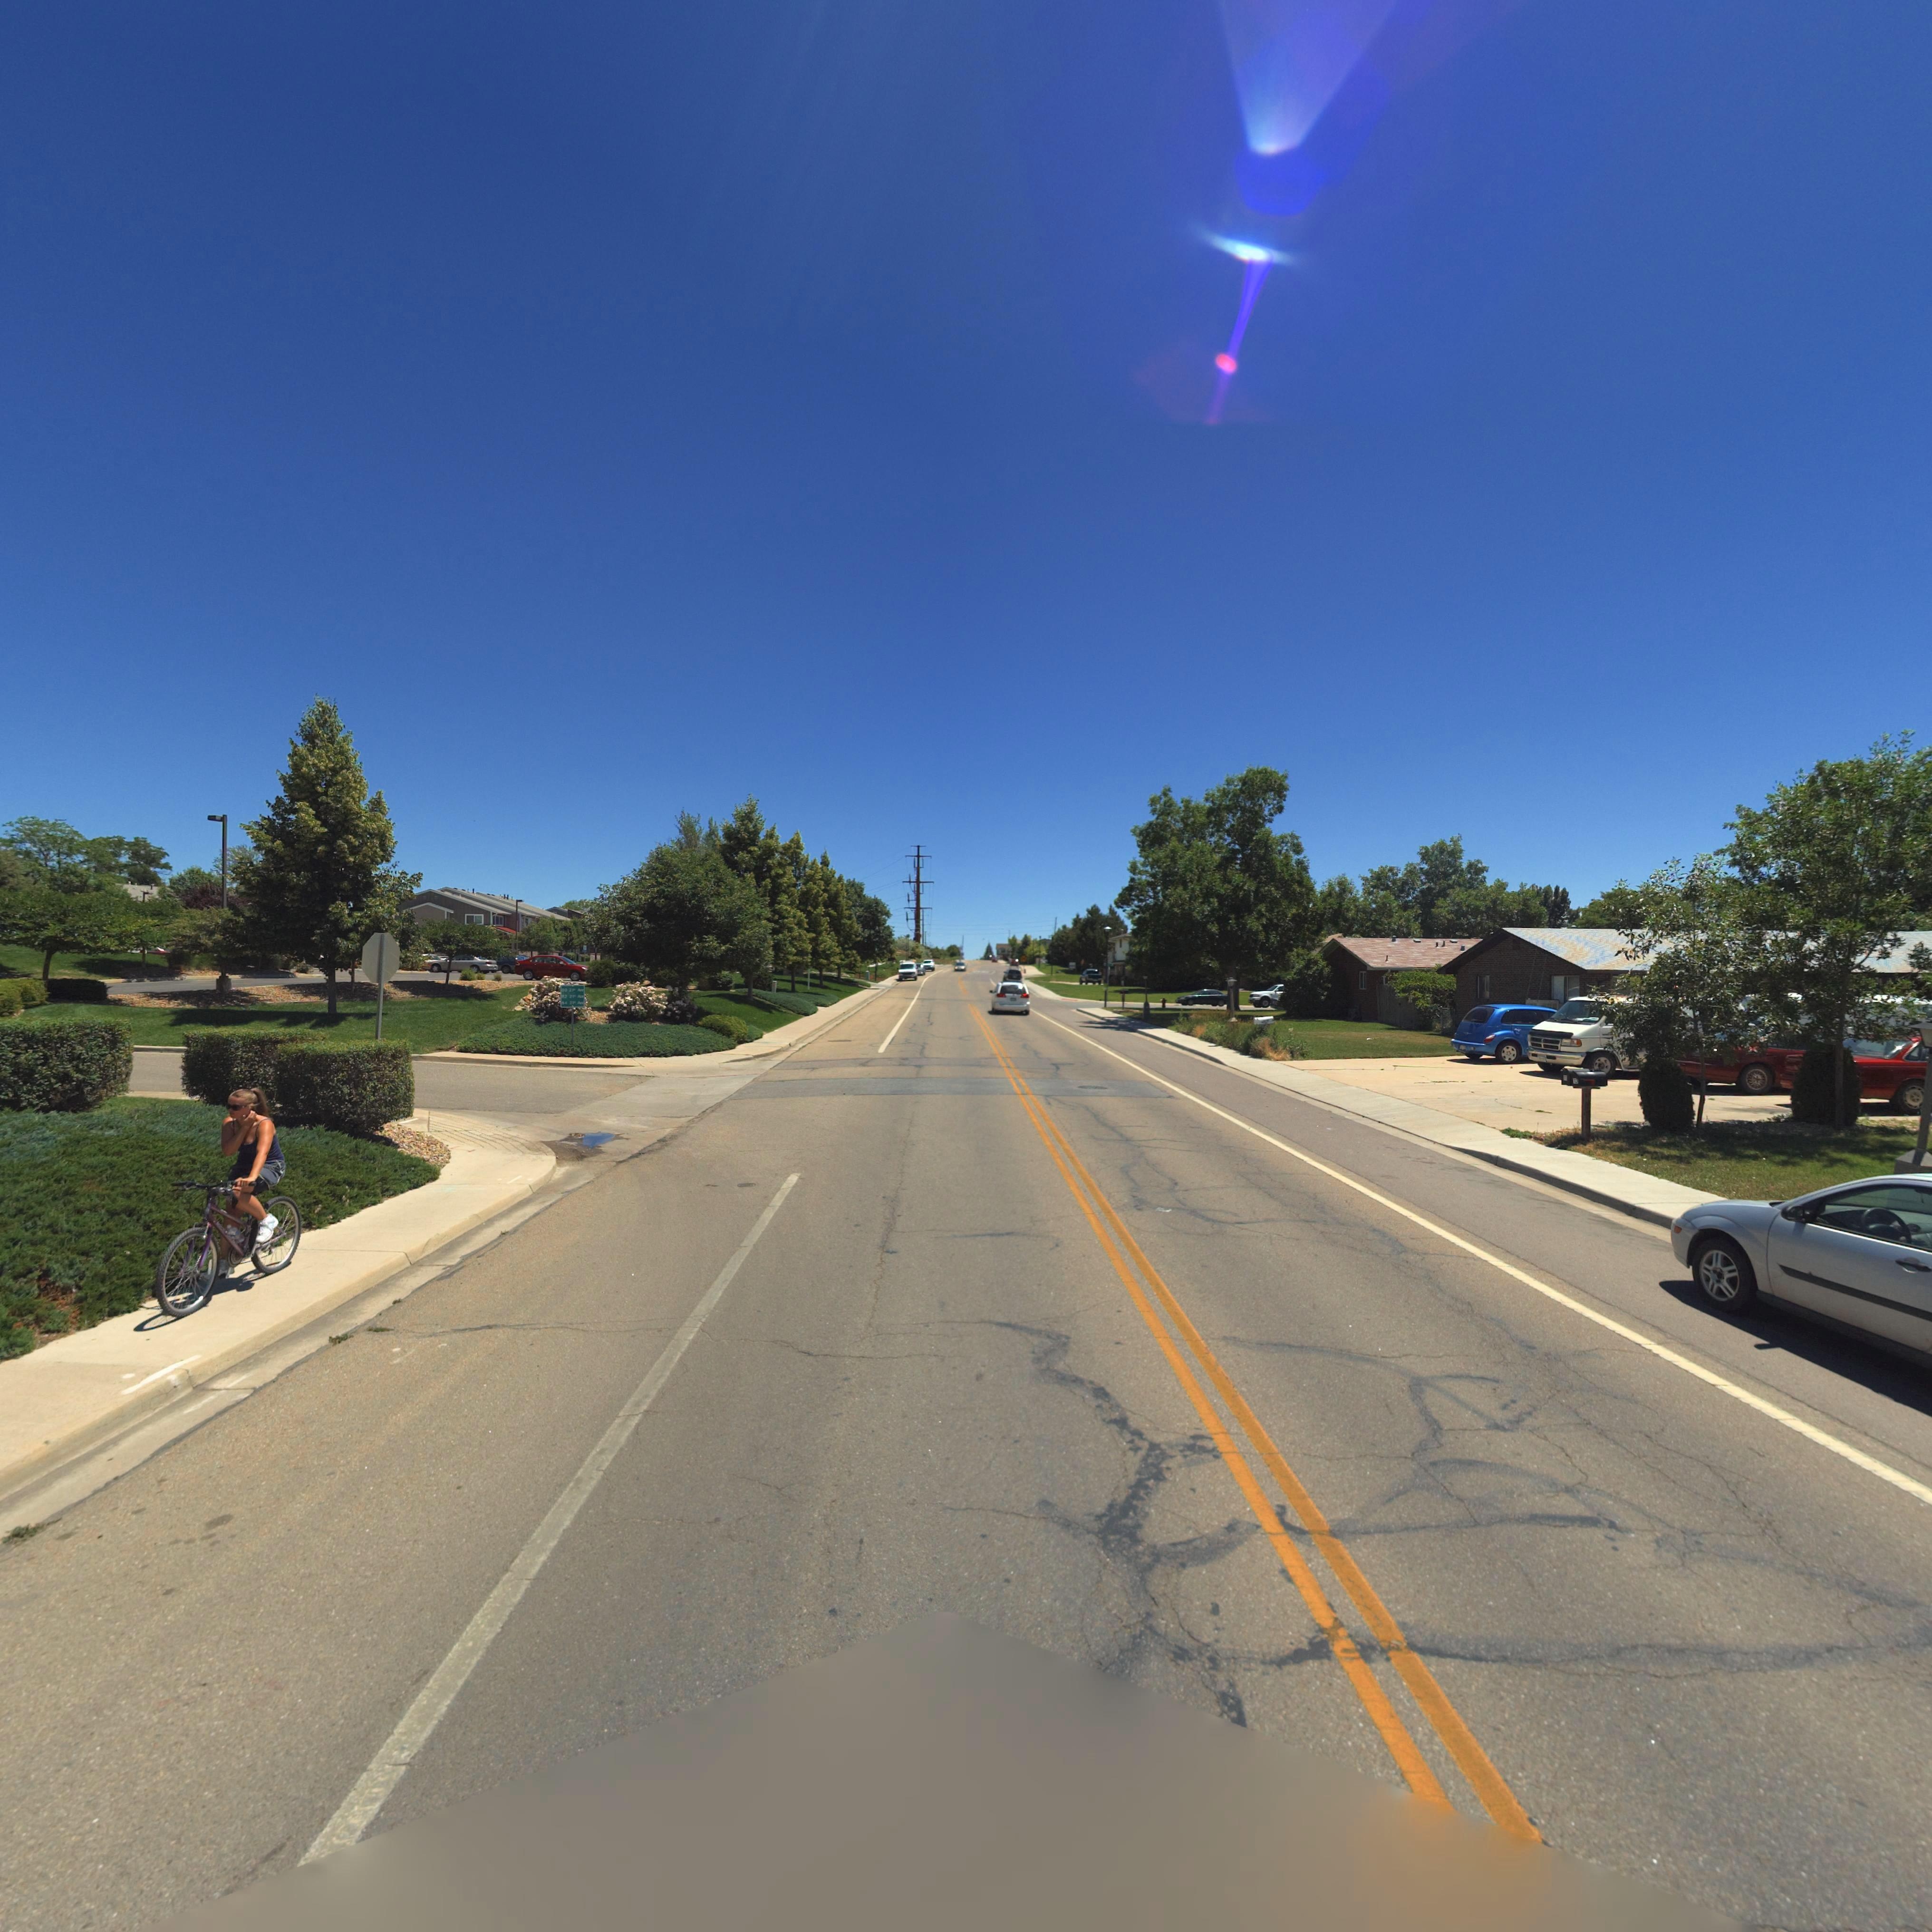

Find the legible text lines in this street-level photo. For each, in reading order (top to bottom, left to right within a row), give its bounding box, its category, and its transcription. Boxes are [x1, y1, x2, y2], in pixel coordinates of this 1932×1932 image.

[561, 987, 568, 993] StreetNumber: 80
[569, 987, 584, 992] StreetName: 21st Ave
[561, 994, 567, 999] StreetNumber: 82
[569, 994, 584, 998] StreetName: 21st Ave
[561, 1000, 567, 1005] StreetNumber: 84
[569, 1000, 584, 1005] StreetName: 21st Ave